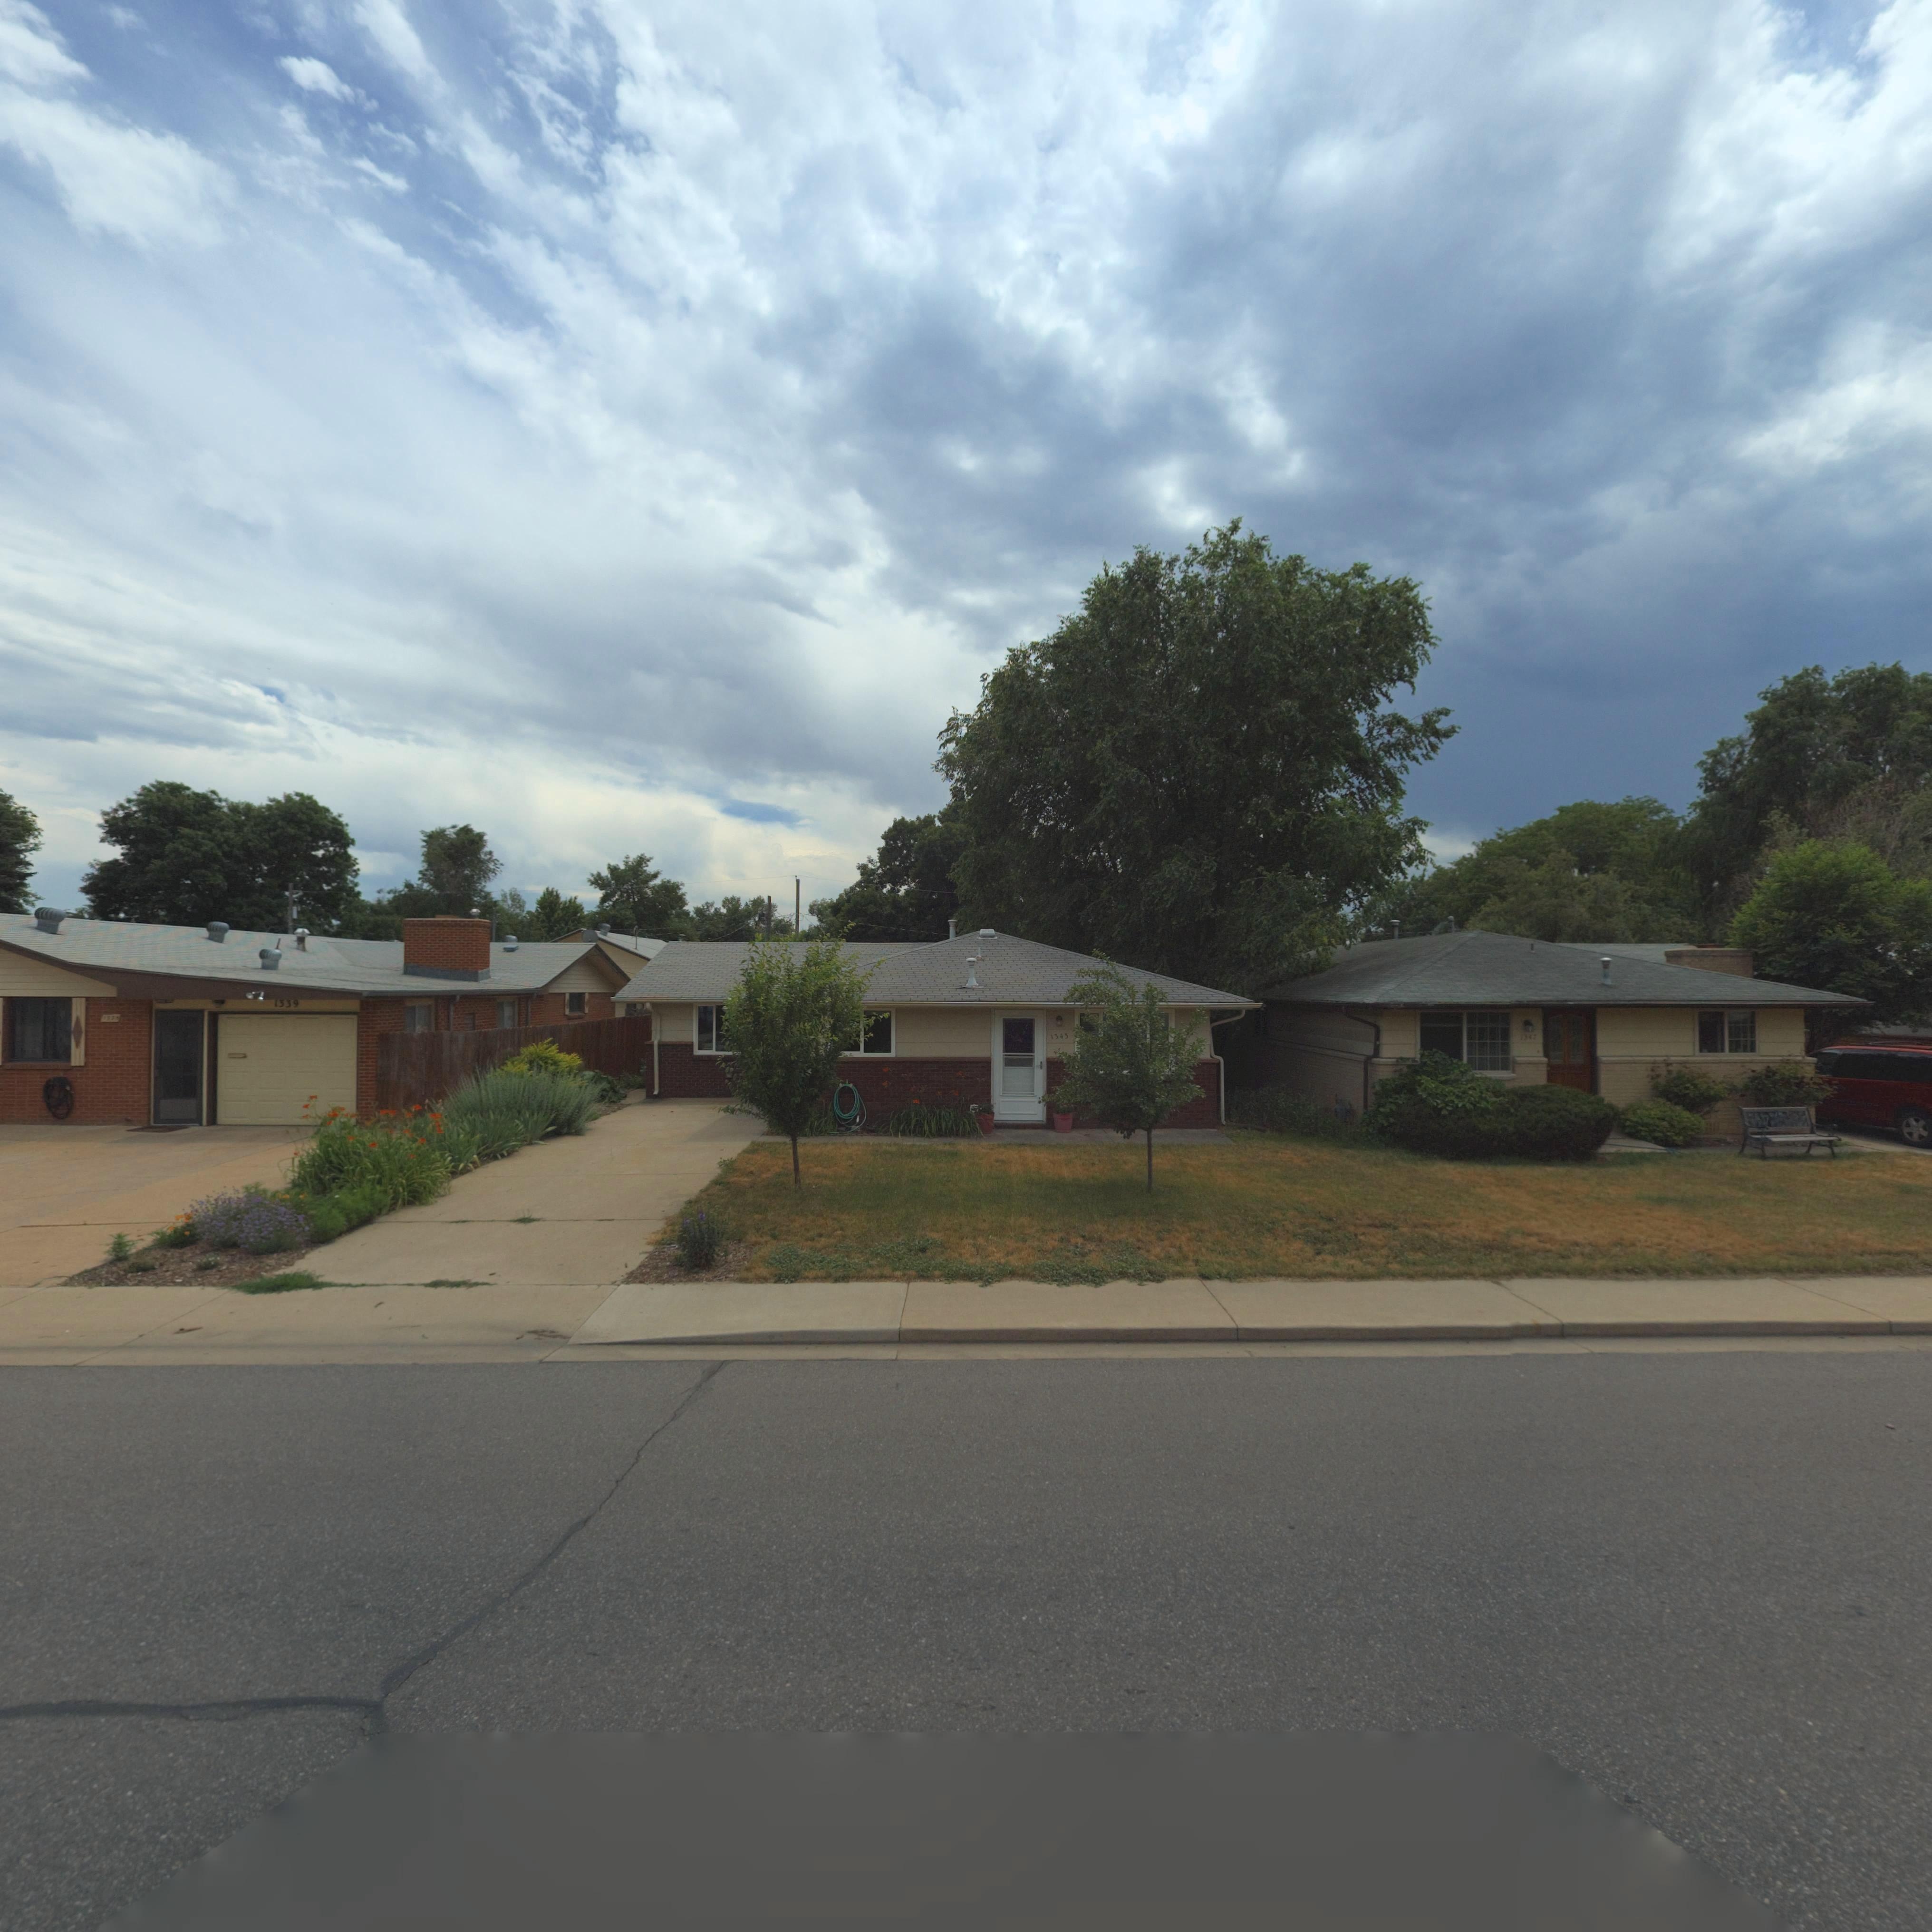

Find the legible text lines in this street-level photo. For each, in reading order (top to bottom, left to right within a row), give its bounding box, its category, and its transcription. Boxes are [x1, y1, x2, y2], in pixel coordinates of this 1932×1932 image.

[274, 999, 299, 1008] StreetNumber: 1339
[102, 1015, 120, 1022] StreetNumber: 1*3*
[1050, 1032, 1069, 1040] StreetNumber: 134*
[1520, 1034, 1537, 1040] StreetNumber: 13*7